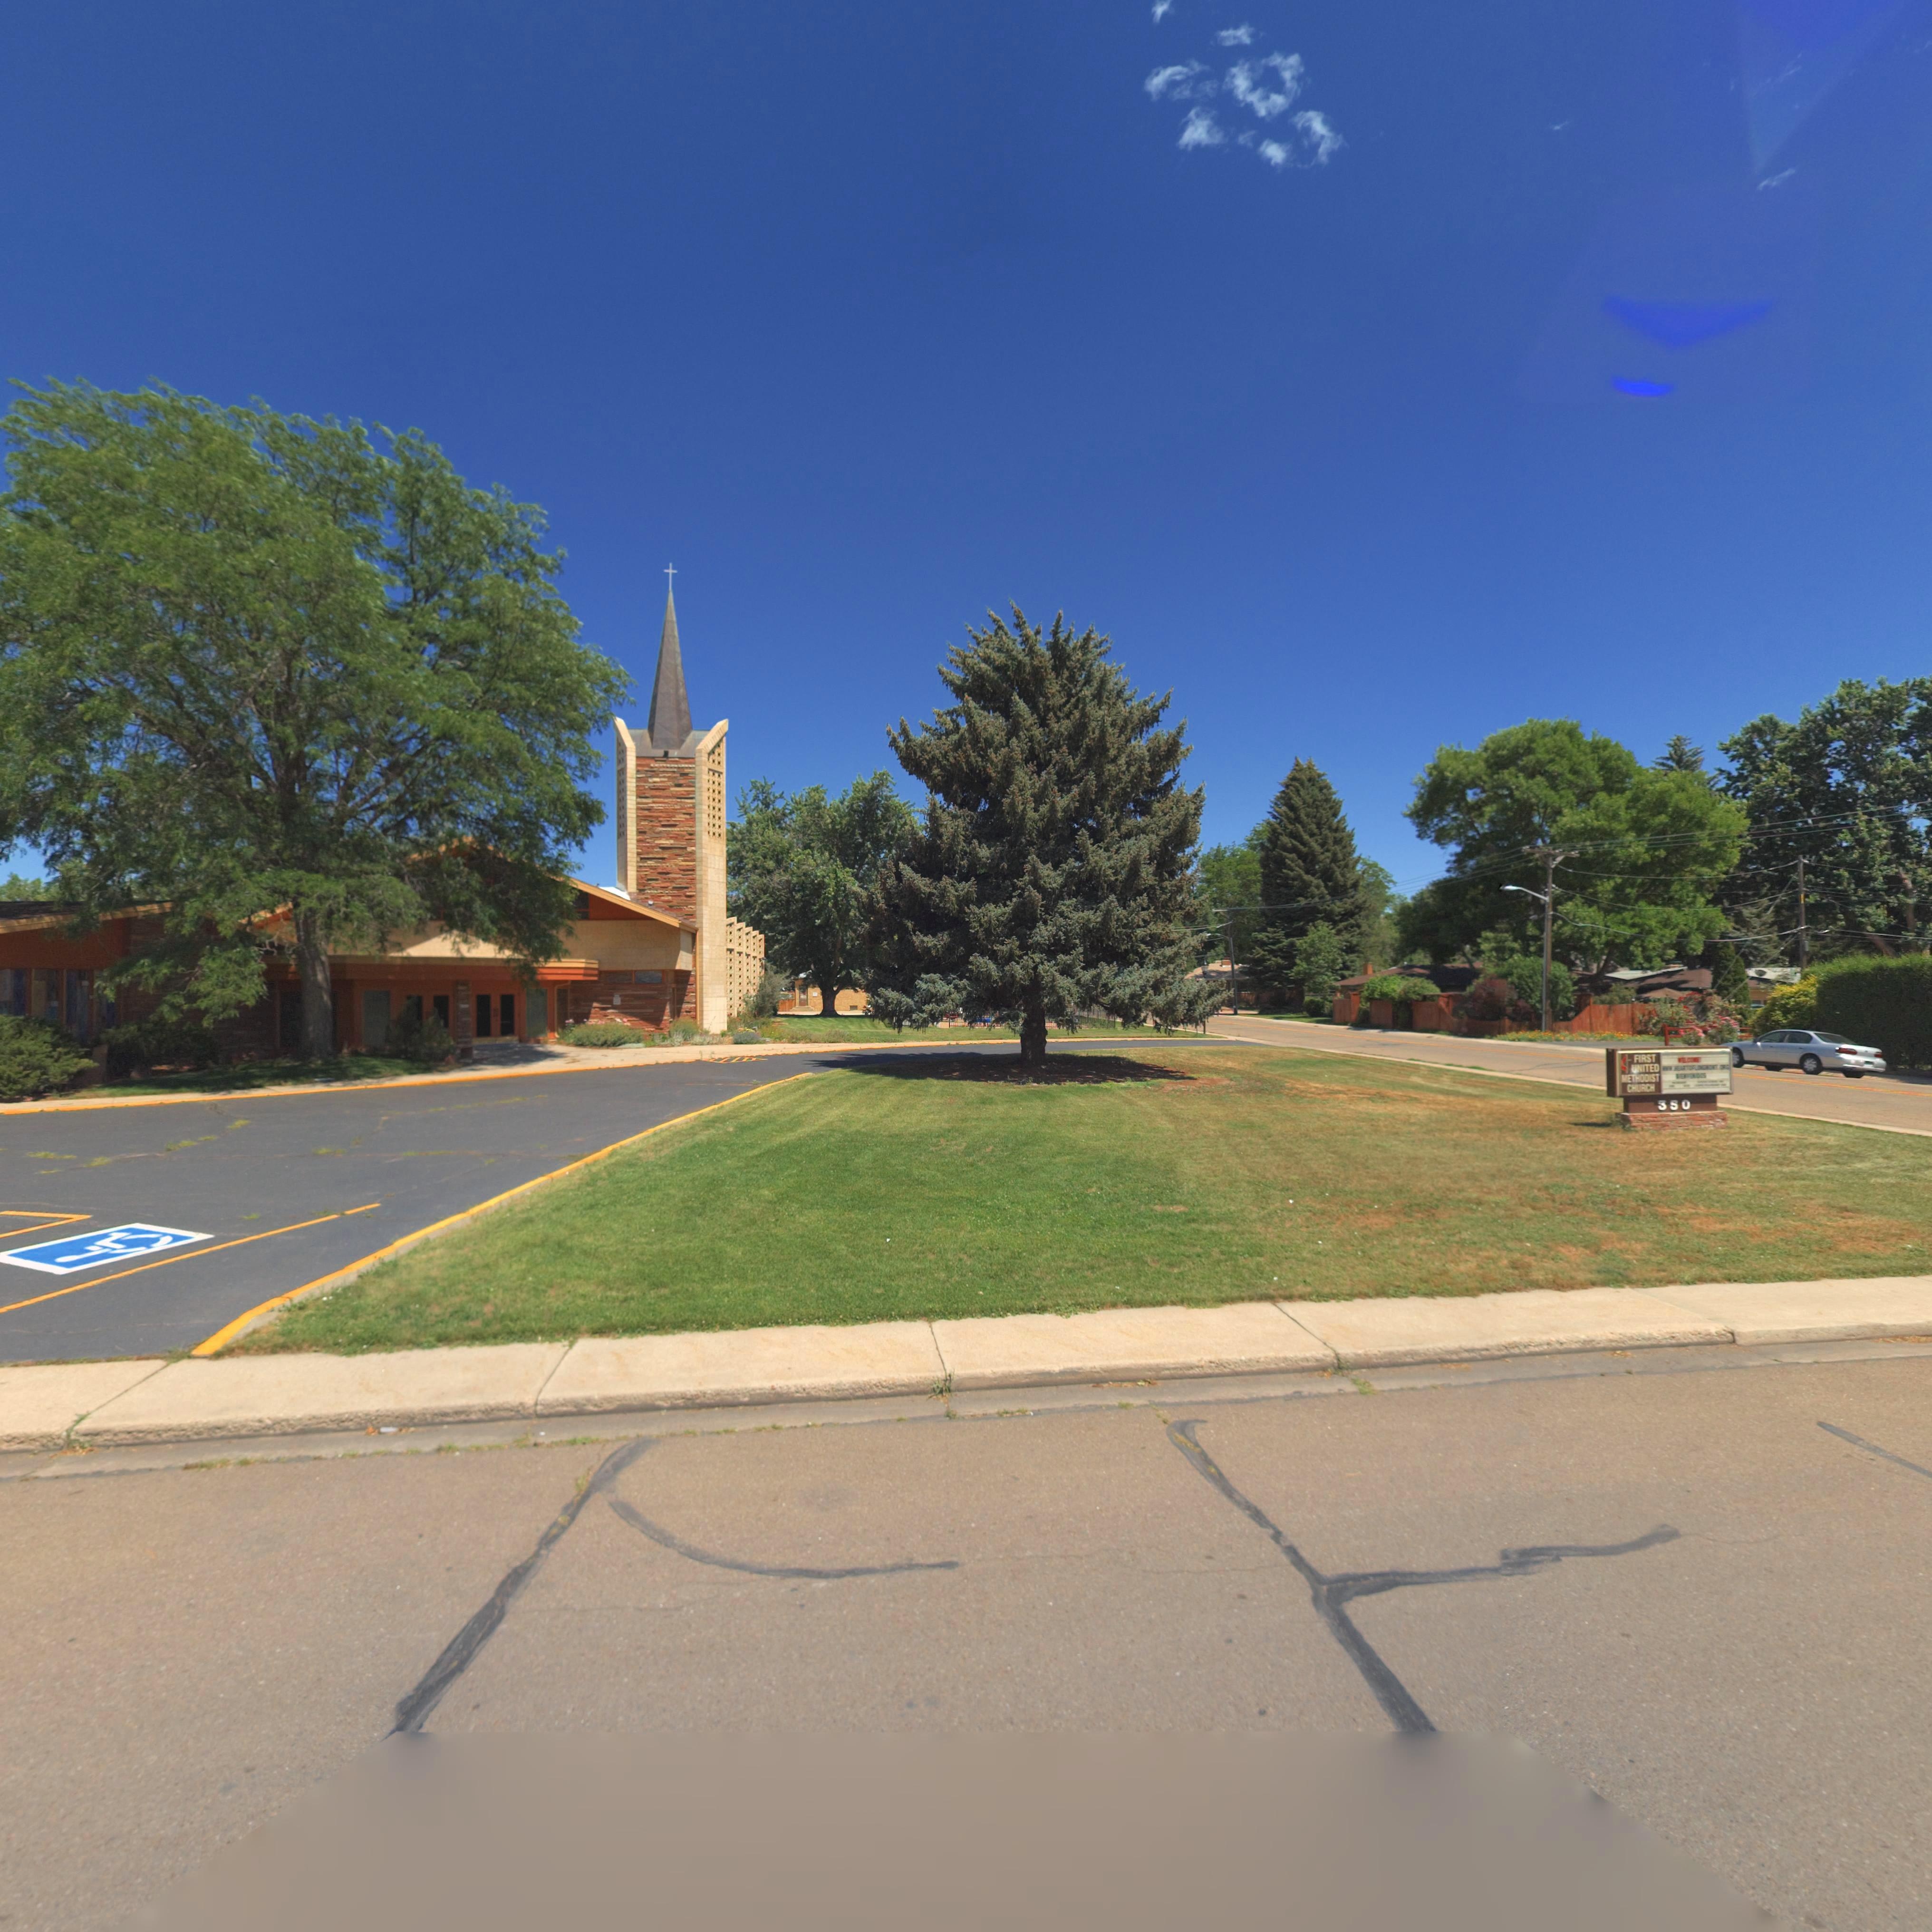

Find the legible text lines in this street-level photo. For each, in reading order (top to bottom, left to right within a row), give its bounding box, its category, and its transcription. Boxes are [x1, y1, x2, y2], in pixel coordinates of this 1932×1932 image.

[1633, 1053, 1656, 1063] BusinessName: FIRST
[1631, 1063, 1660, 1073] BusinessName: UNITED
[1621, 1073, 1660, 1083] BusinessName: METHODIST
[1626, 1083, 1655, 1093] BusinessName: CHURCH
[1657, 1099, 1690, 1111] StreetNumber: 350